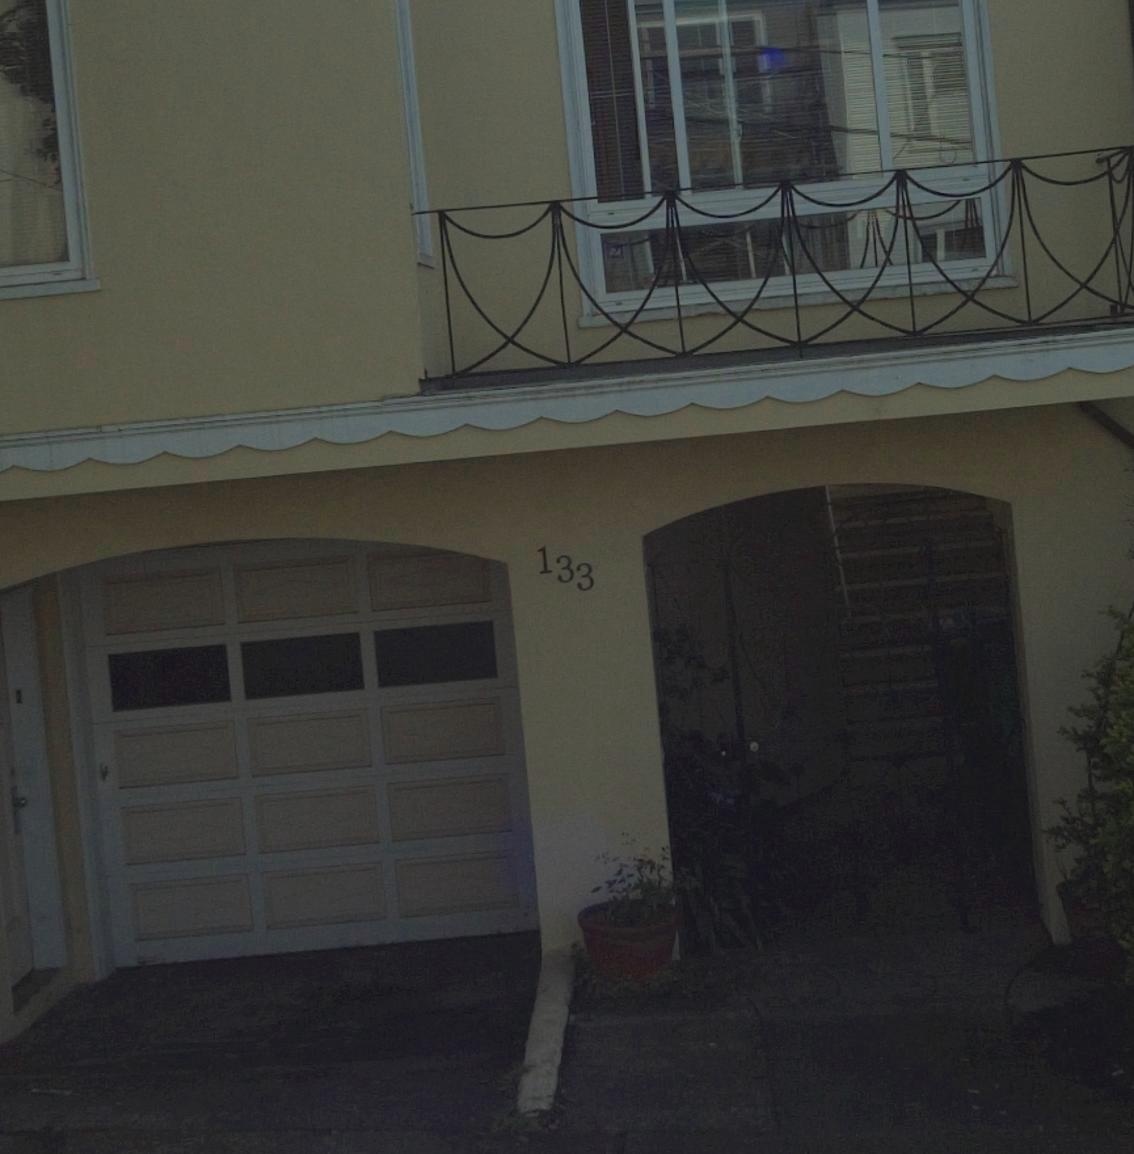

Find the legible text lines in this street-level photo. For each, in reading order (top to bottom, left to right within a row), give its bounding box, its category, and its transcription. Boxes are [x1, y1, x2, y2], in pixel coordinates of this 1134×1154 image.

[535, 543, 596, 595] StreetNumber: 133